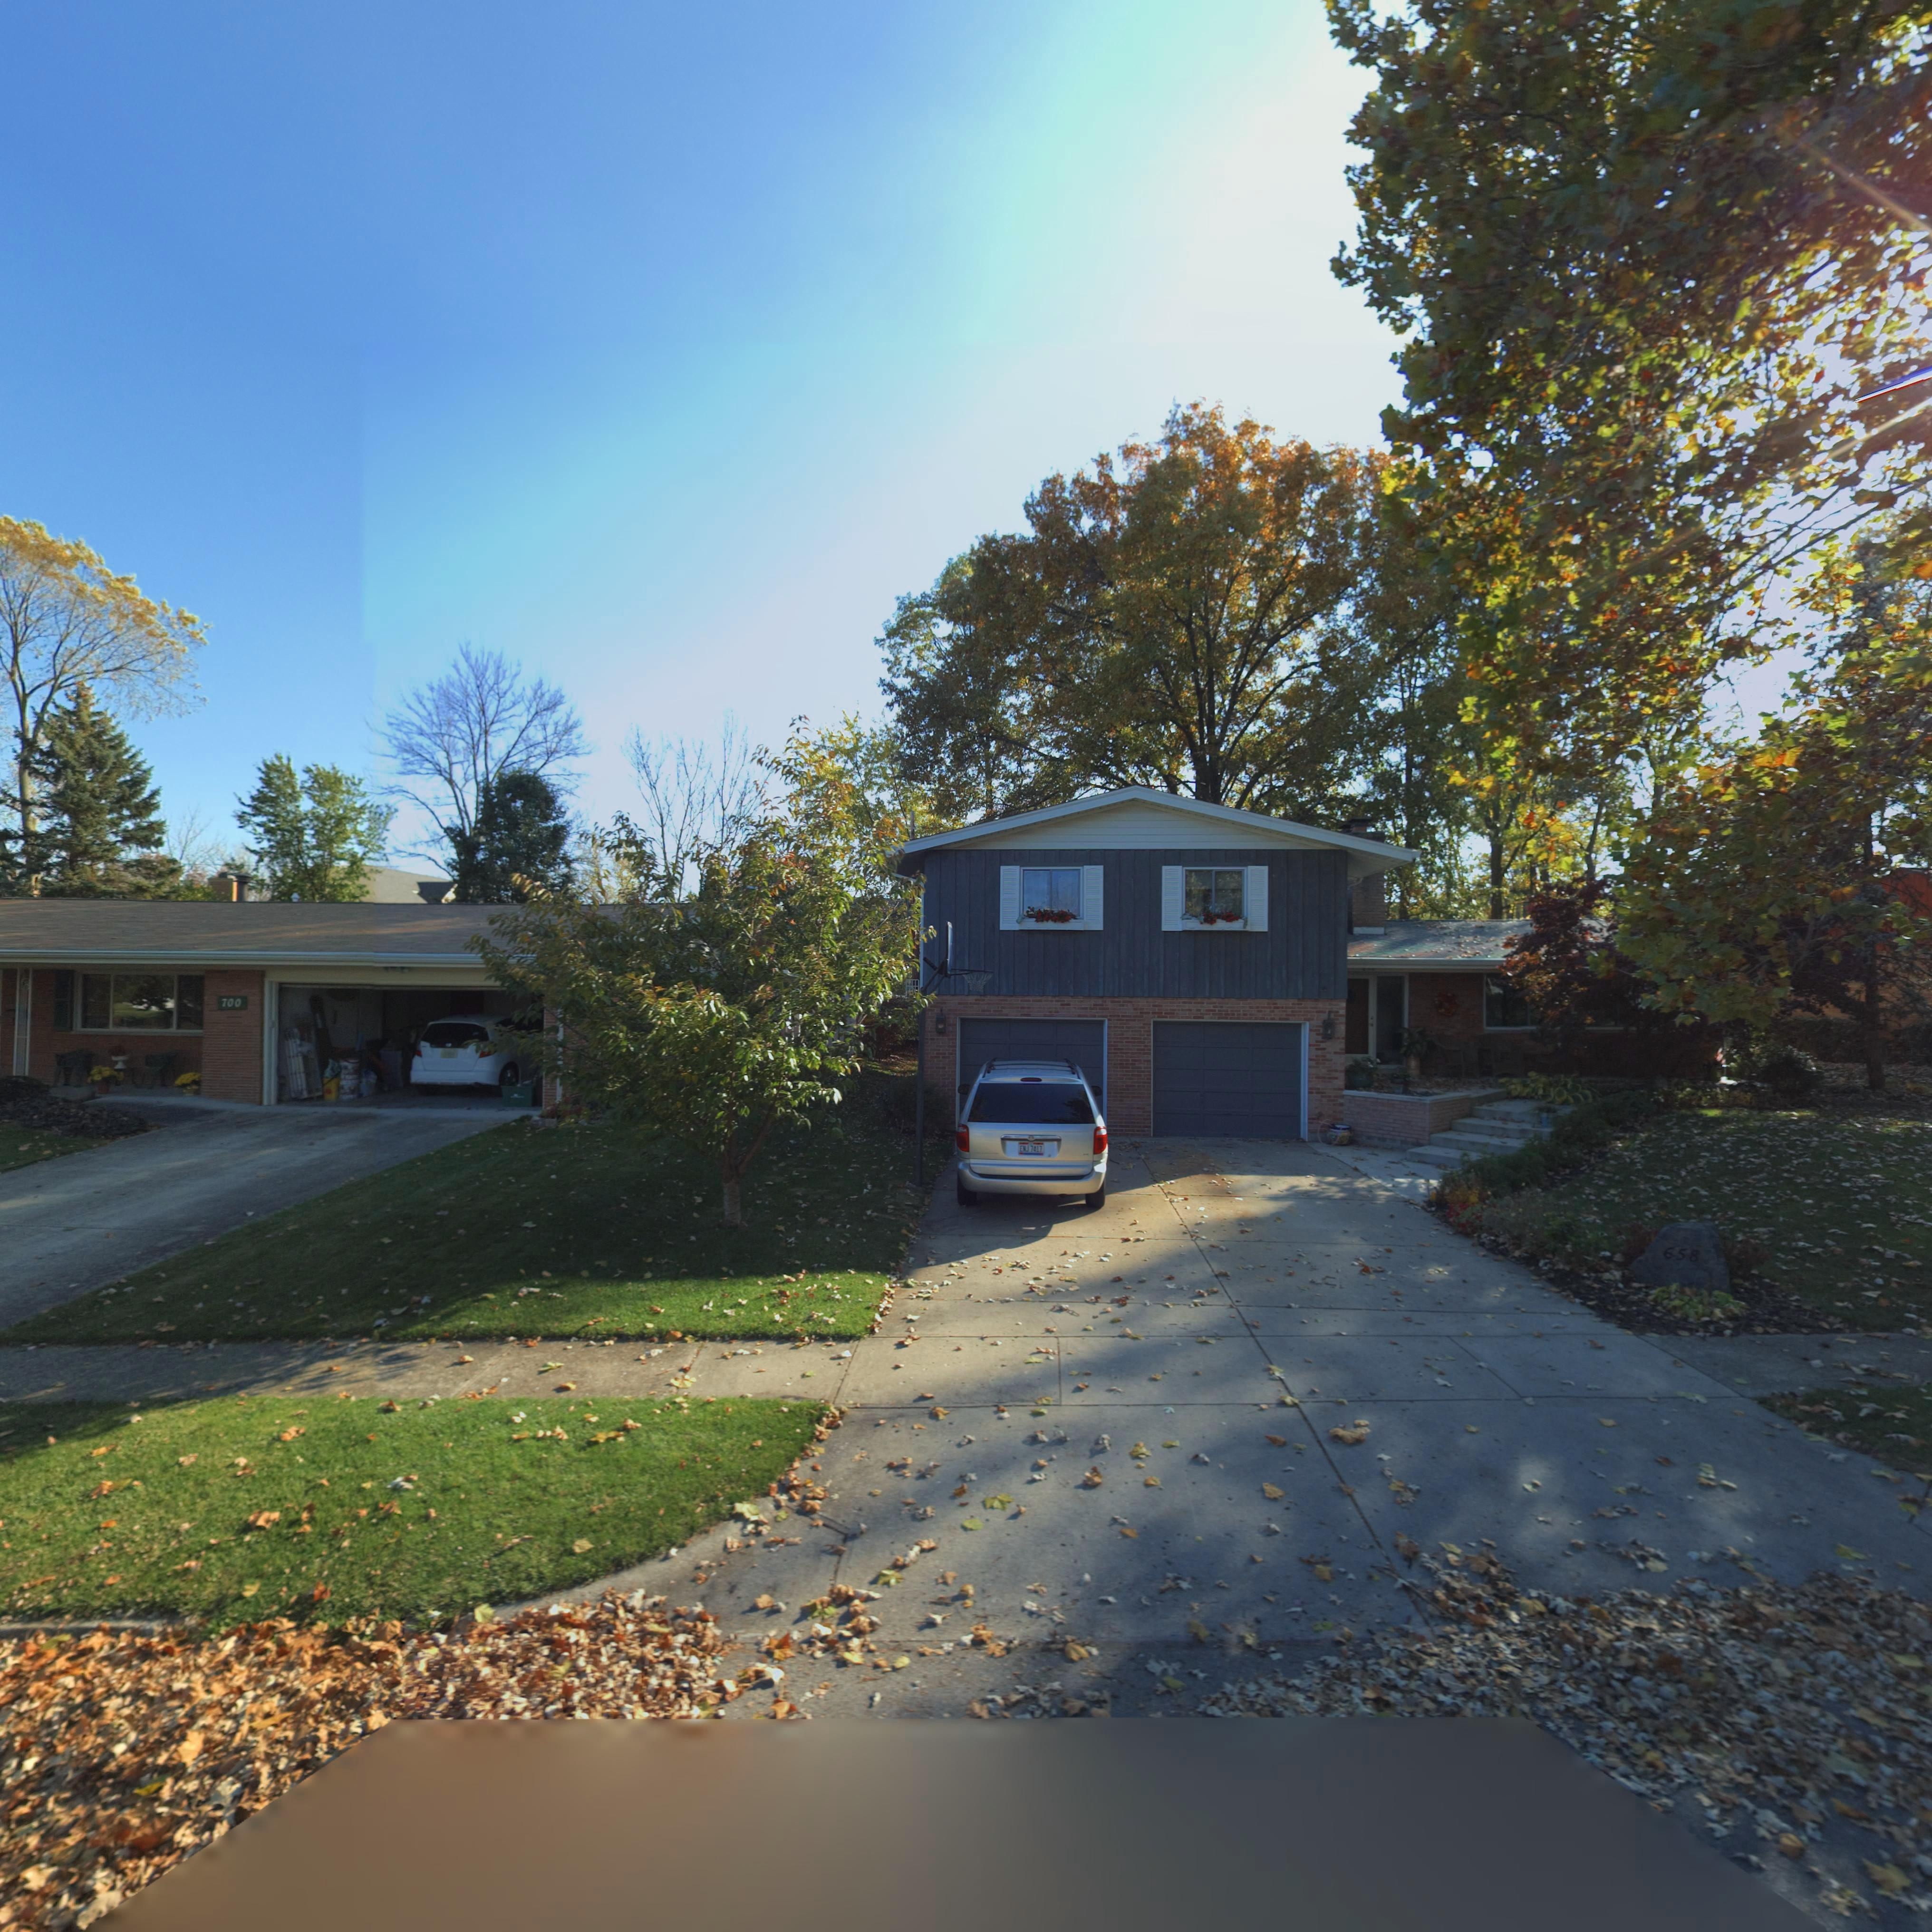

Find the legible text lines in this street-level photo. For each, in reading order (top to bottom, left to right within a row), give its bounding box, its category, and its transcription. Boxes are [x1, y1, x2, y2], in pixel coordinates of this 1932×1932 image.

[219, 996, 243, 1009] StreetNumber: 700
[1661, 1244, 1704, 1266] StreetNumber: 658